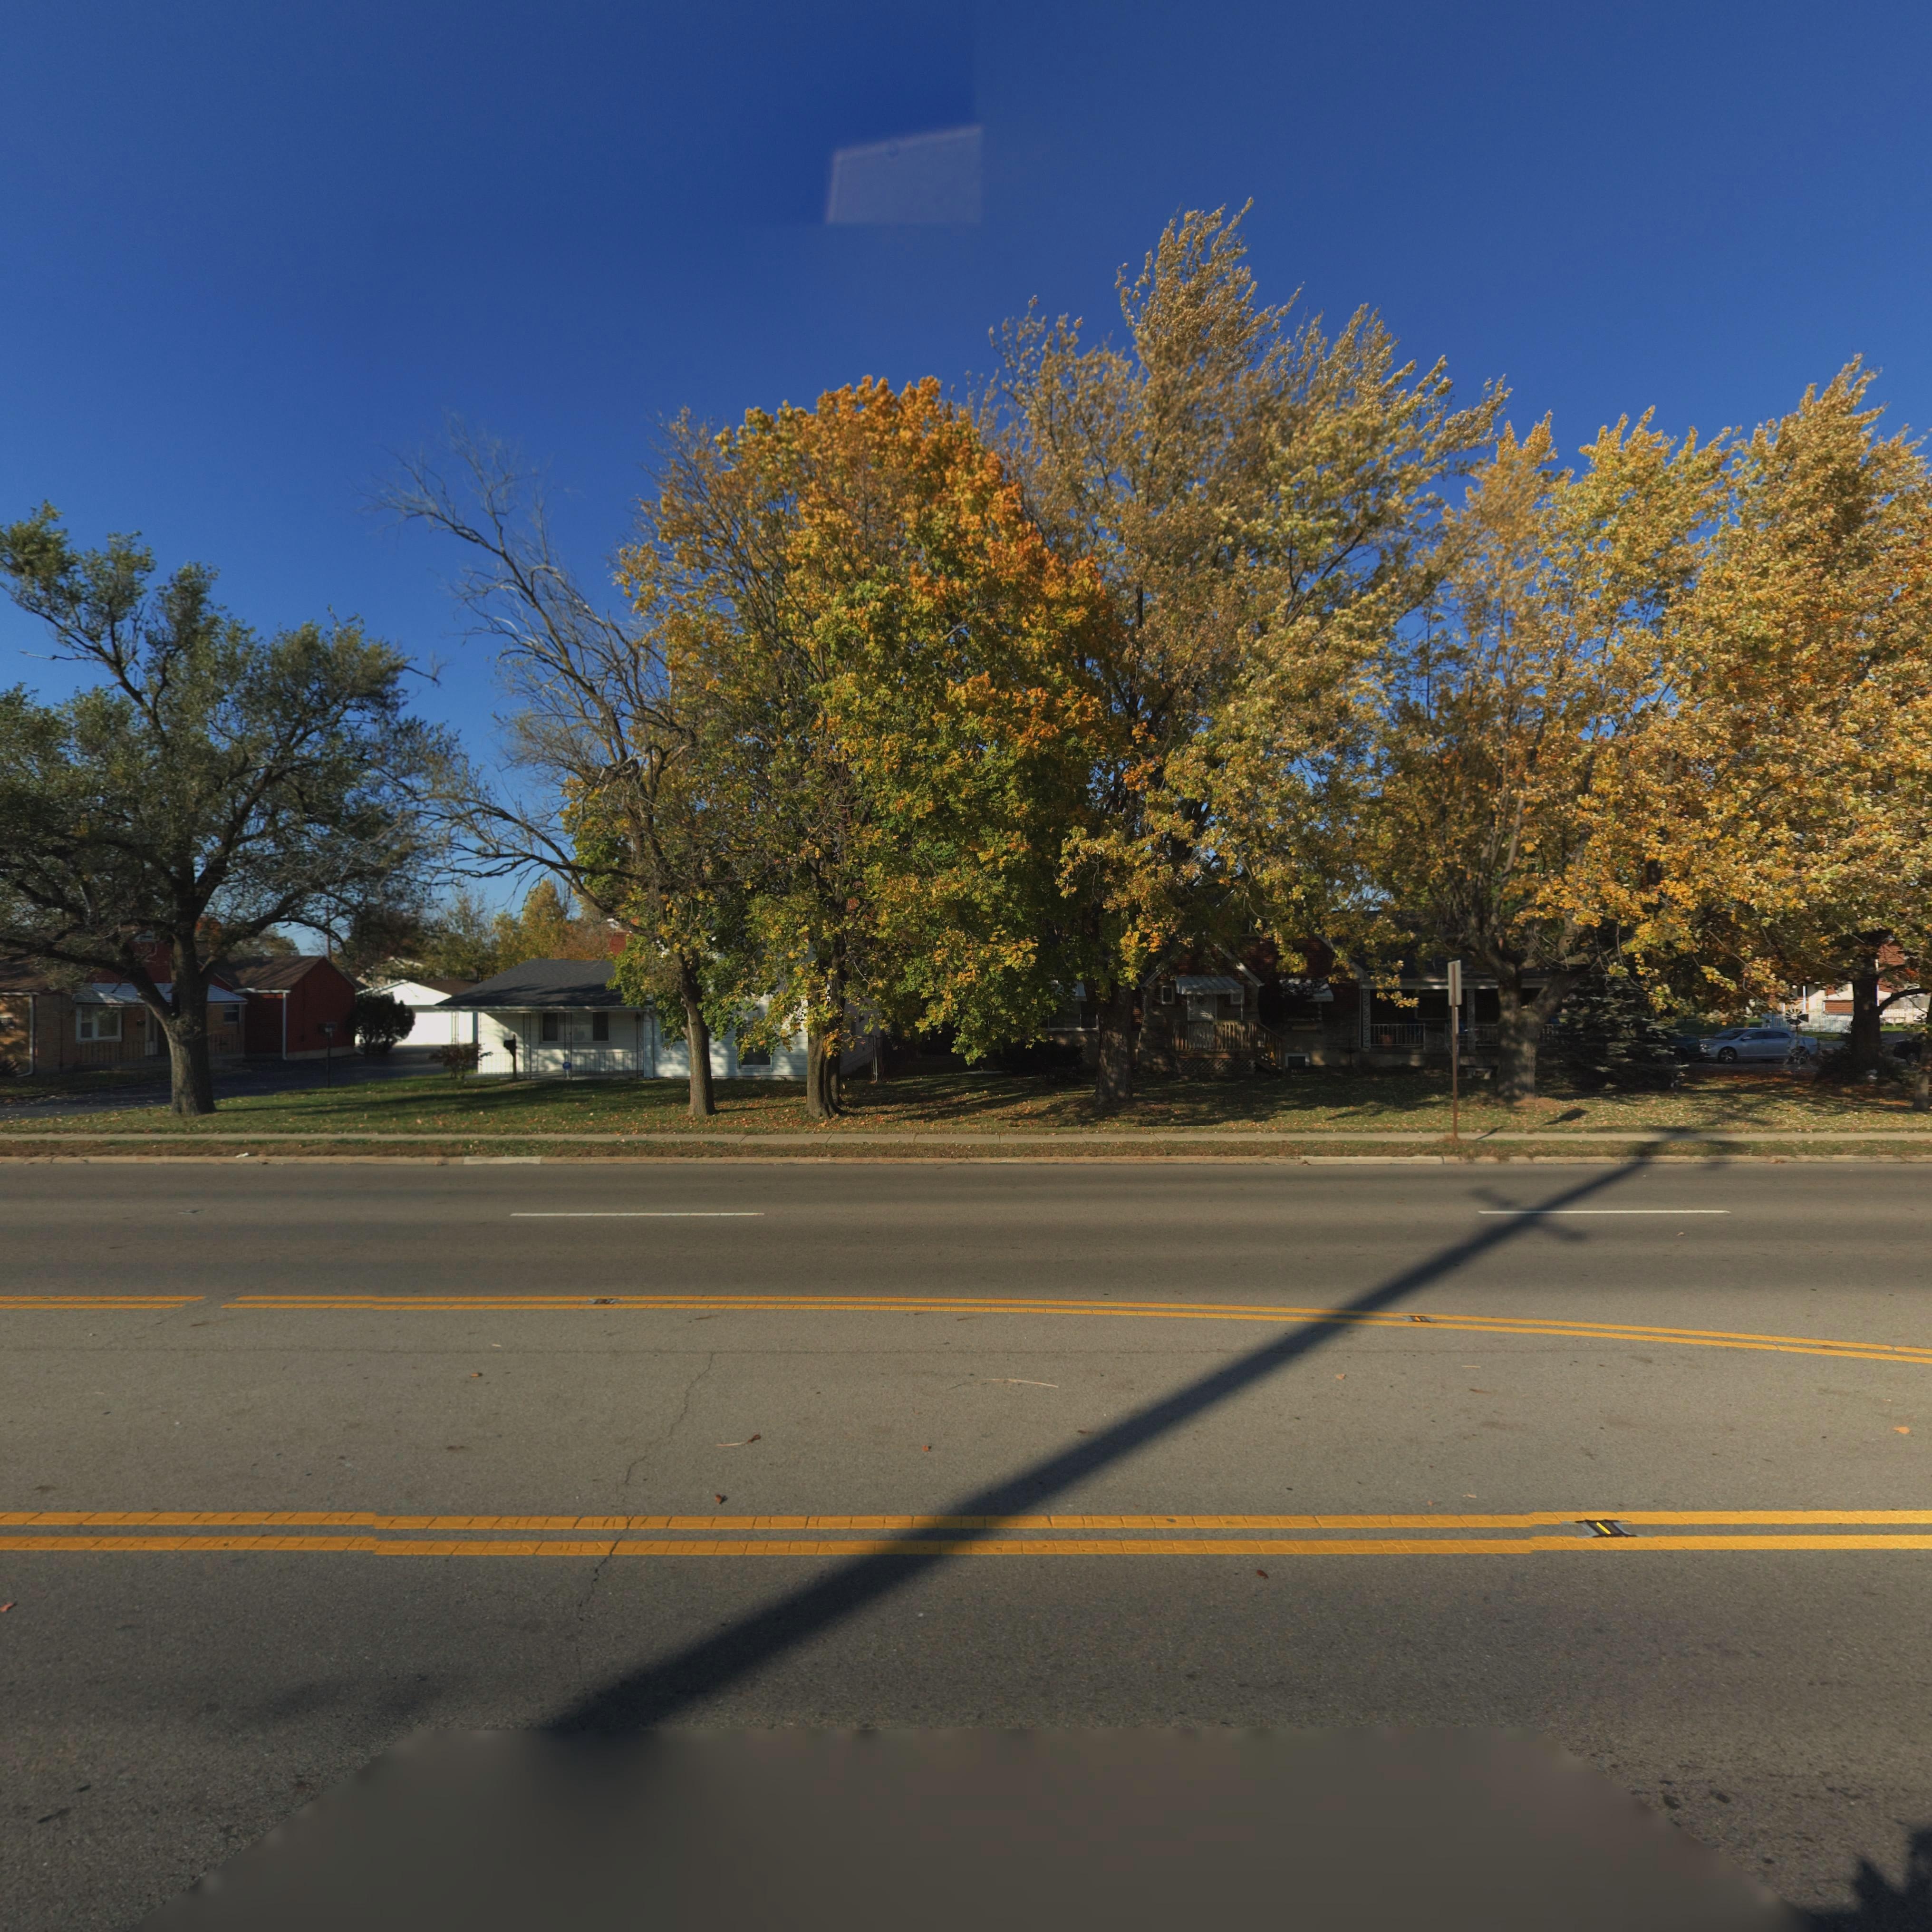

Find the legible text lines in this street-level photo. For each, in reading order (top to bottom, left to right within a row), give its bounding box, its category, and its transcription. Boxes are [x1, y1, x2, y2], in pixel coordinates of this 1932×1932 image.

[669, 1045, 674, 1051] StreetNumber: 7